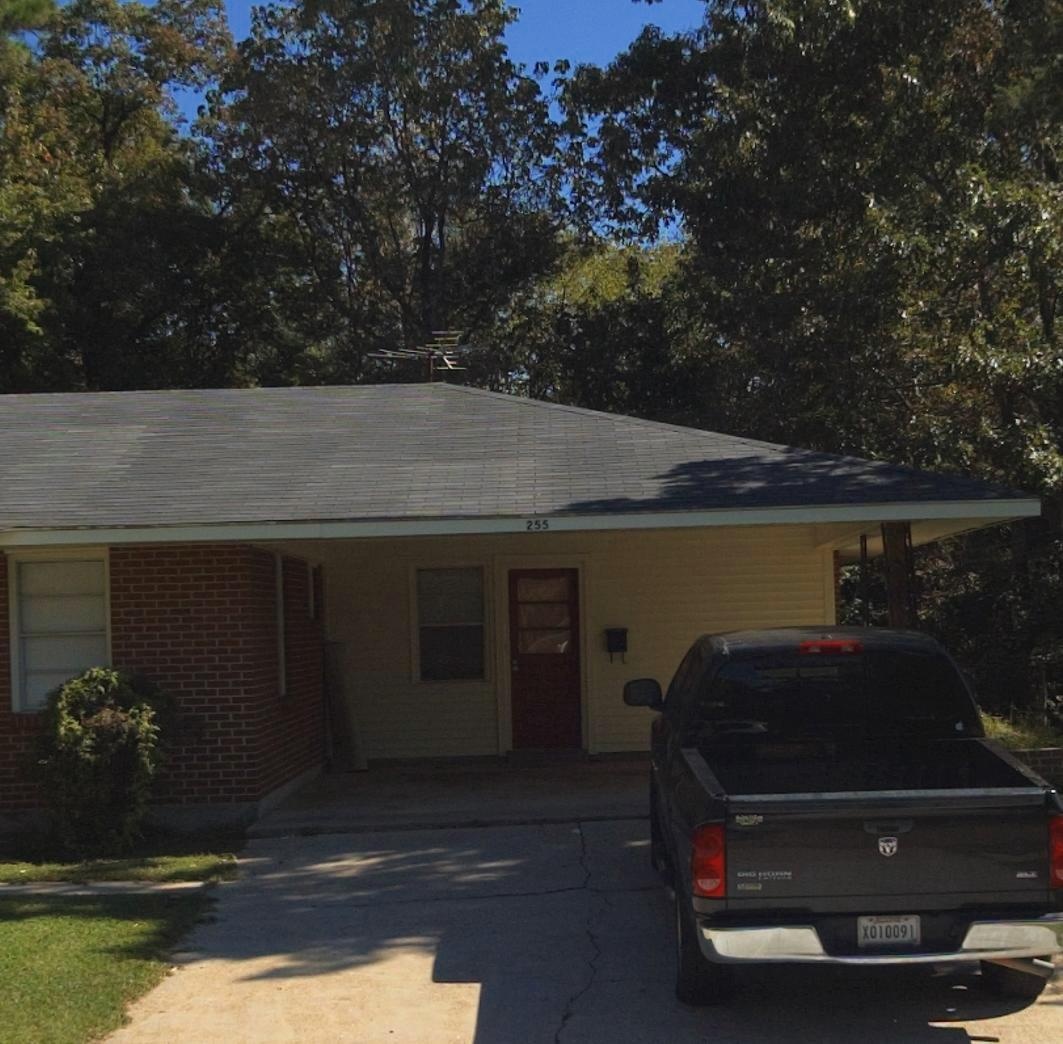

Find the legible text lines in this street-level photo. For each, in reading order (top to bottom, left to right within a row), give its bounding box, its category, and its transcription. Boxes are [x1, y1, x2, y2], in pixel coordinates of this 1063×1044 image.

[524, 518, 550, 532] StreetNumber: 255
[860, 921, 916, 942] None: X010091